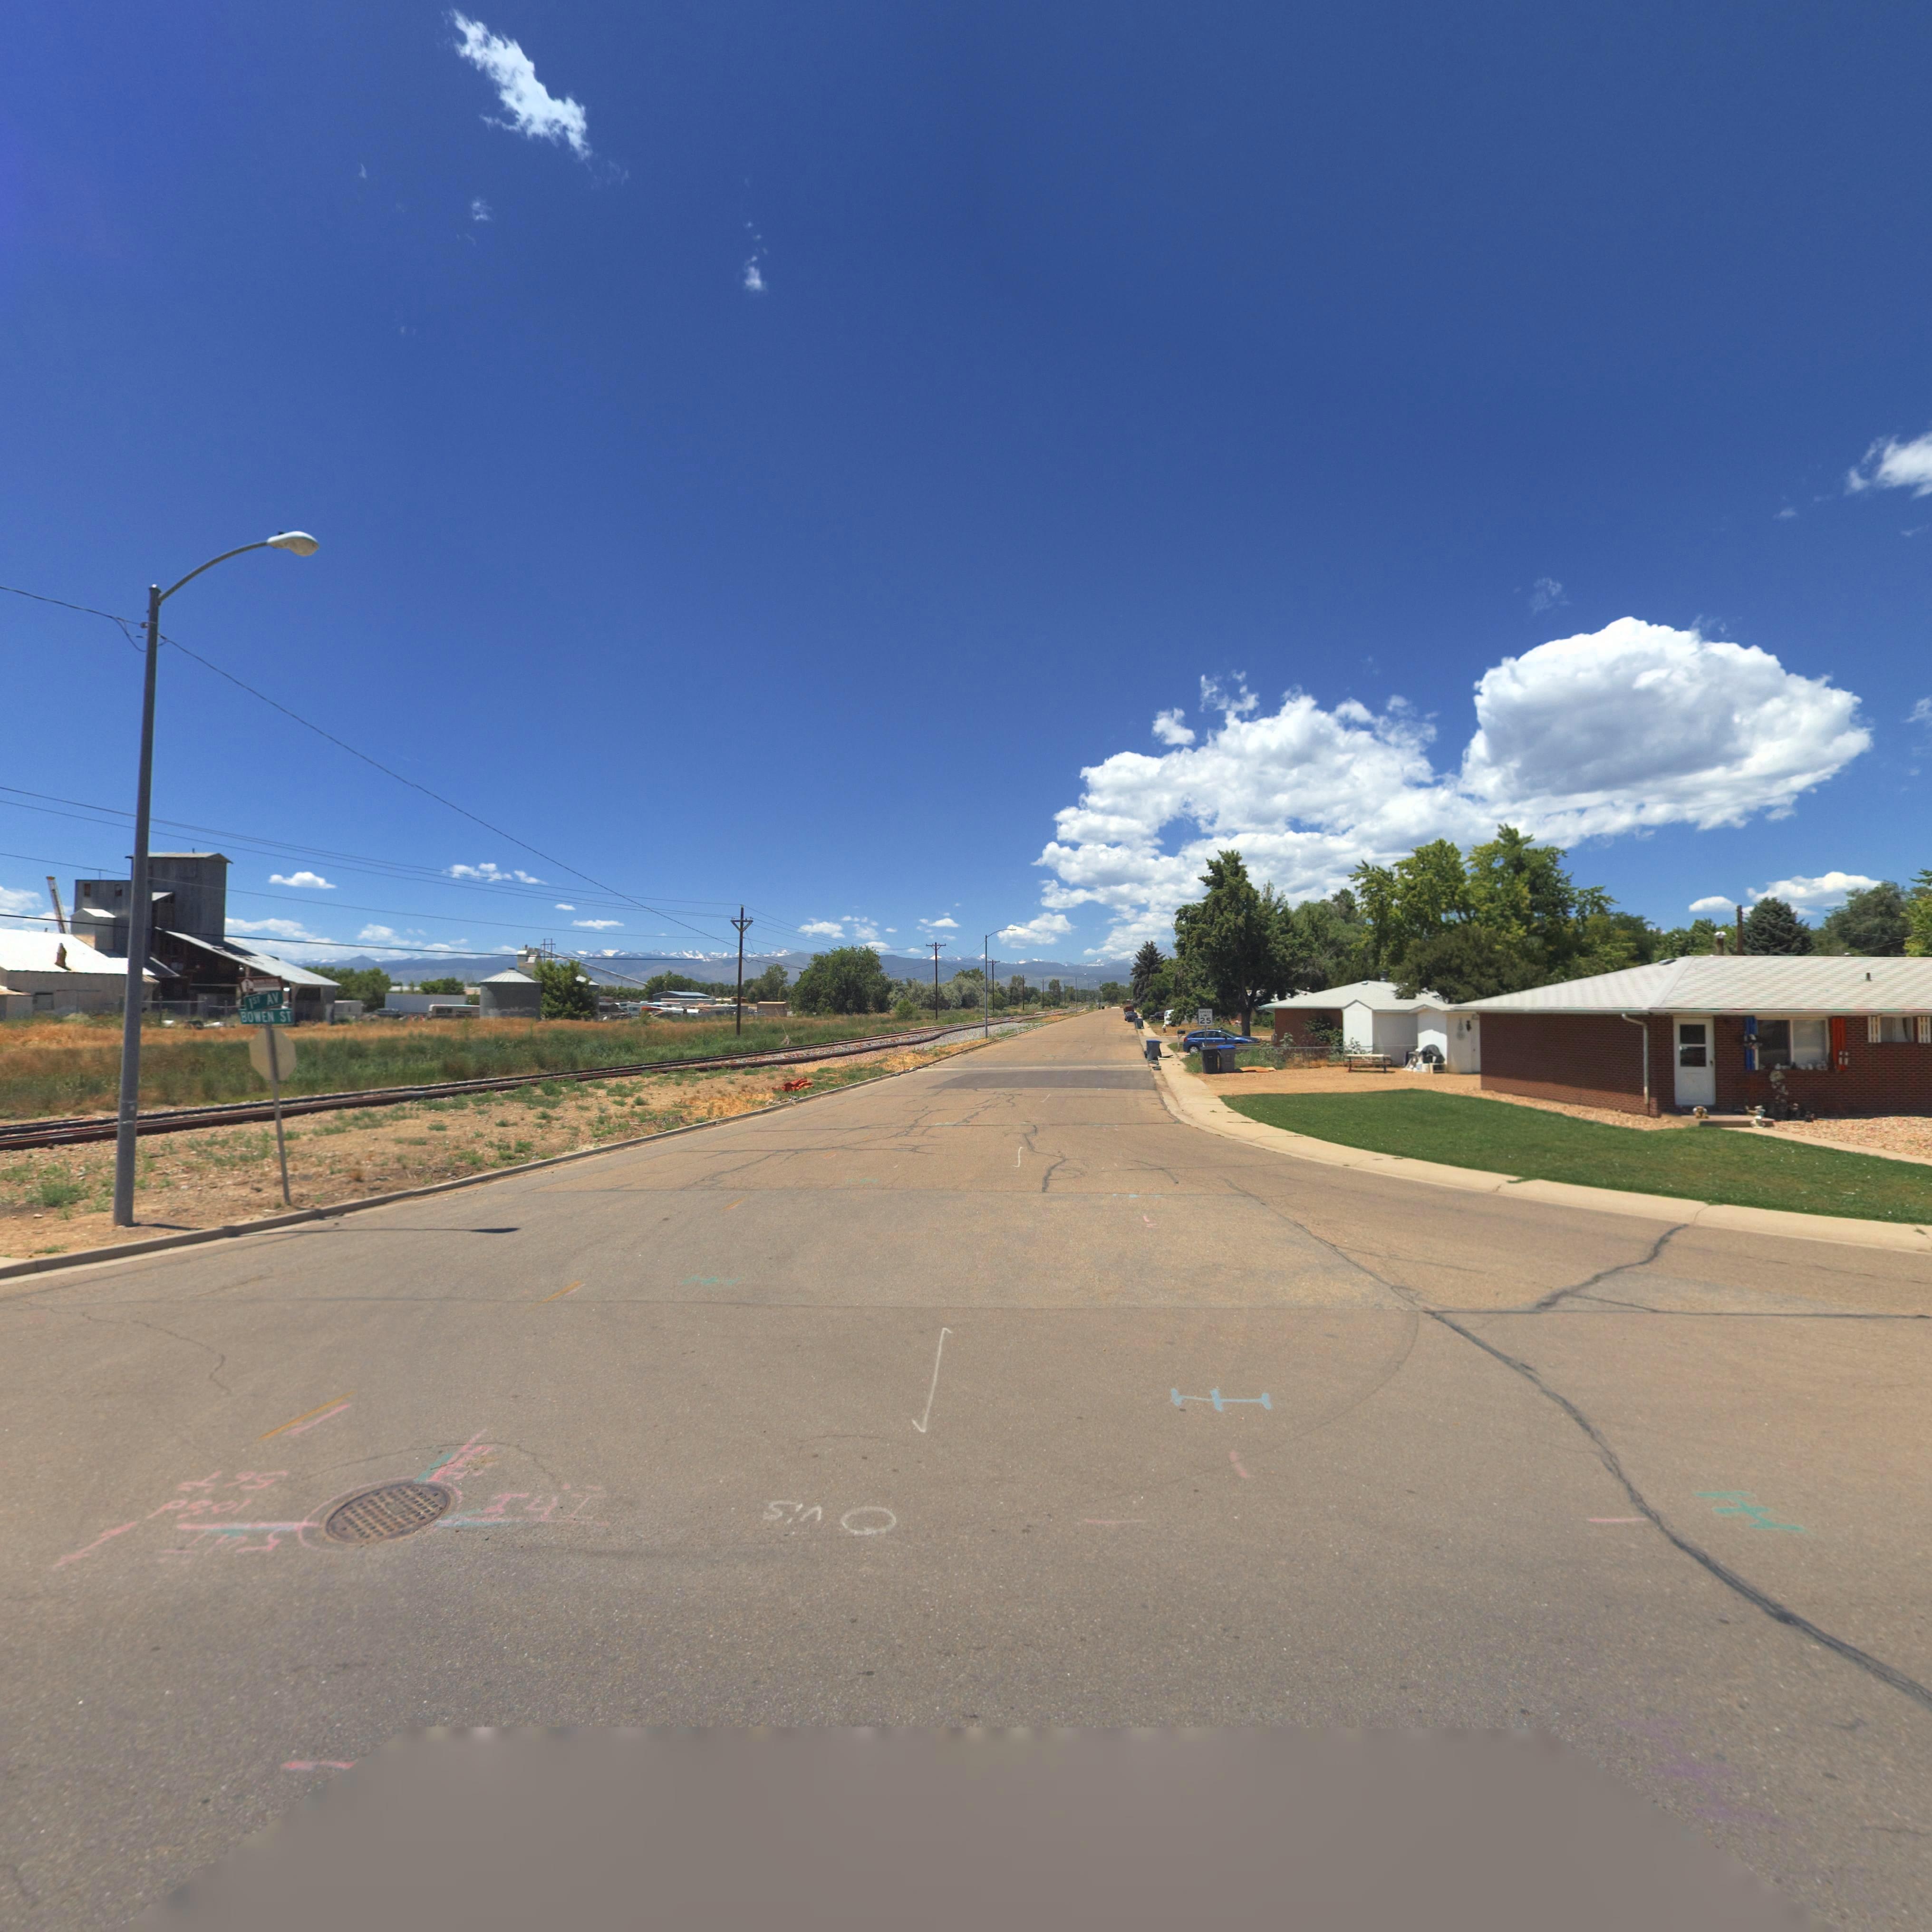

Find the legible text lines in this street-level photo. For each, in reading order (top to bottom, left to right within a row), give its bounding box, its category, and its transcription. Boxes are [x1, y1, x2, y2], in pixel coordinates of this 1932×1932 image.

[247, 991, 279, 1010] StreetName: 1ST AV
[241, 1010, 291, 1024] StreetName: BOWEN ST